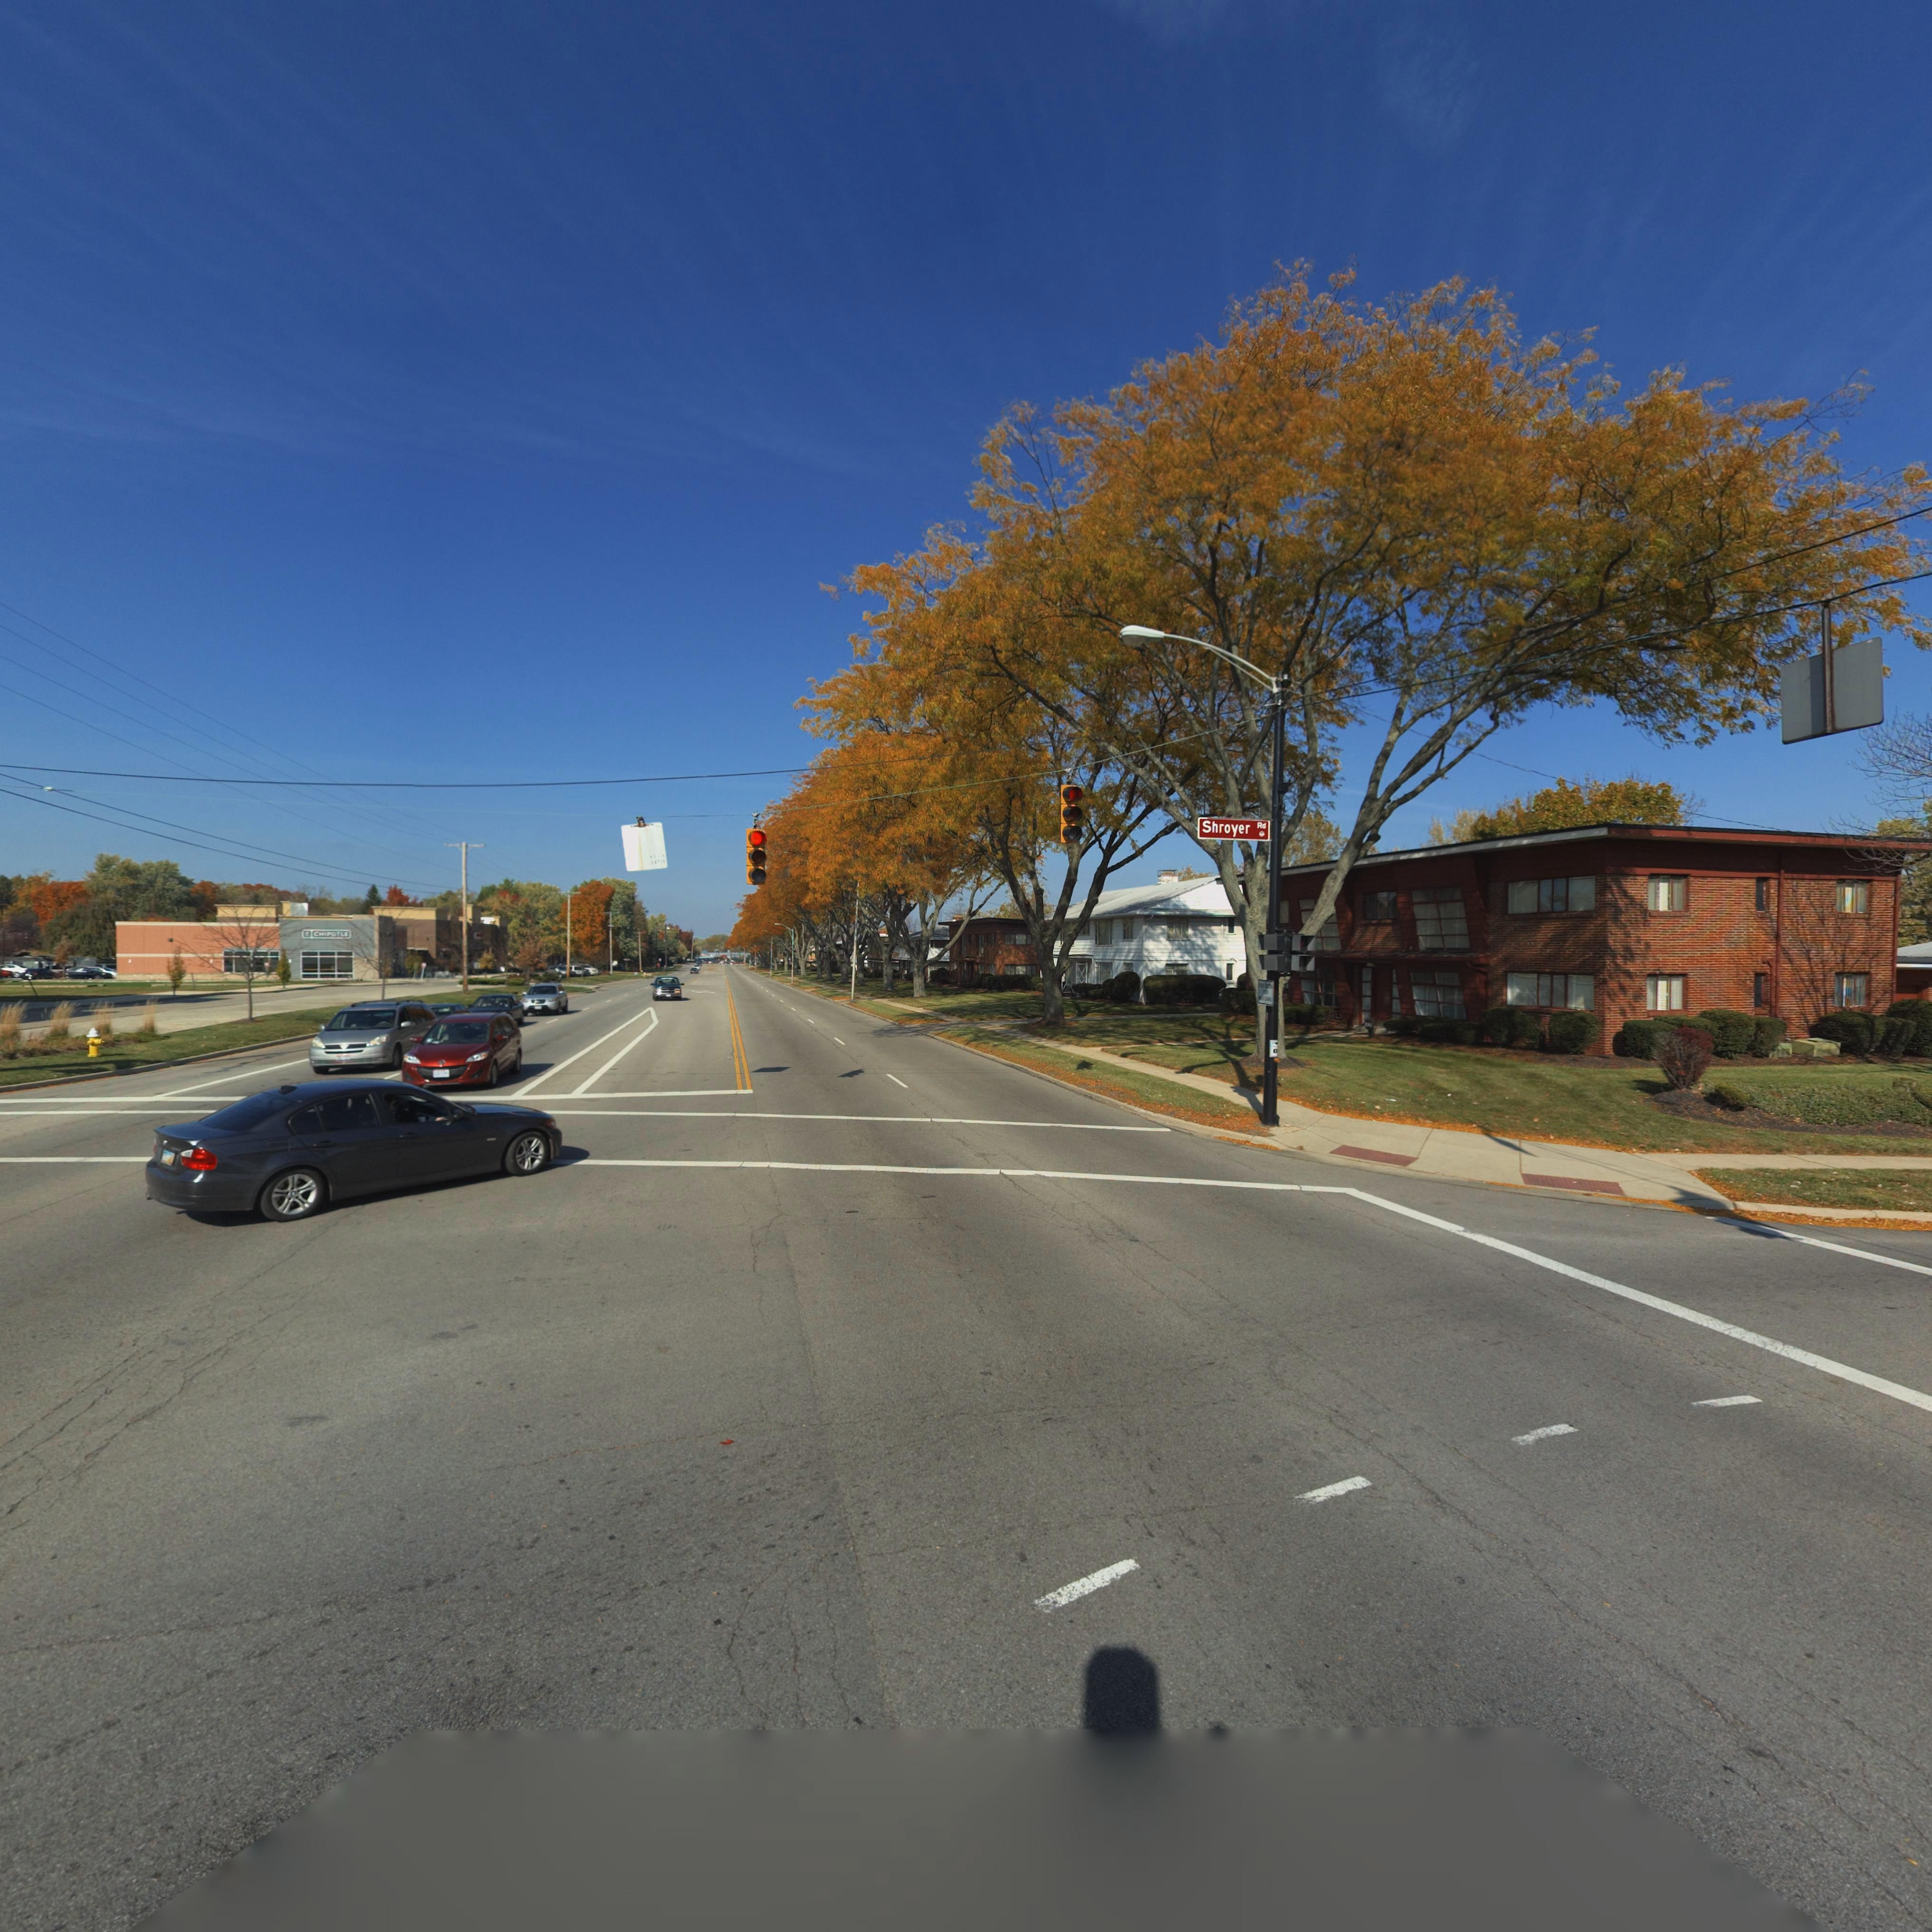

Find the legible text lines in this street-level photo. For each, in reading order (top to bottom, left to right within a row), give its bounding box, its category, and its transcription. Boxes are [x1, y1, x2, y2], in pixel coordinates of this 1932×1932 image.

[1201, 819, 1267, 839] StreetName: Shroyer Rd
[312, 930, 350, 937] BusinessName: CHIPOTL*